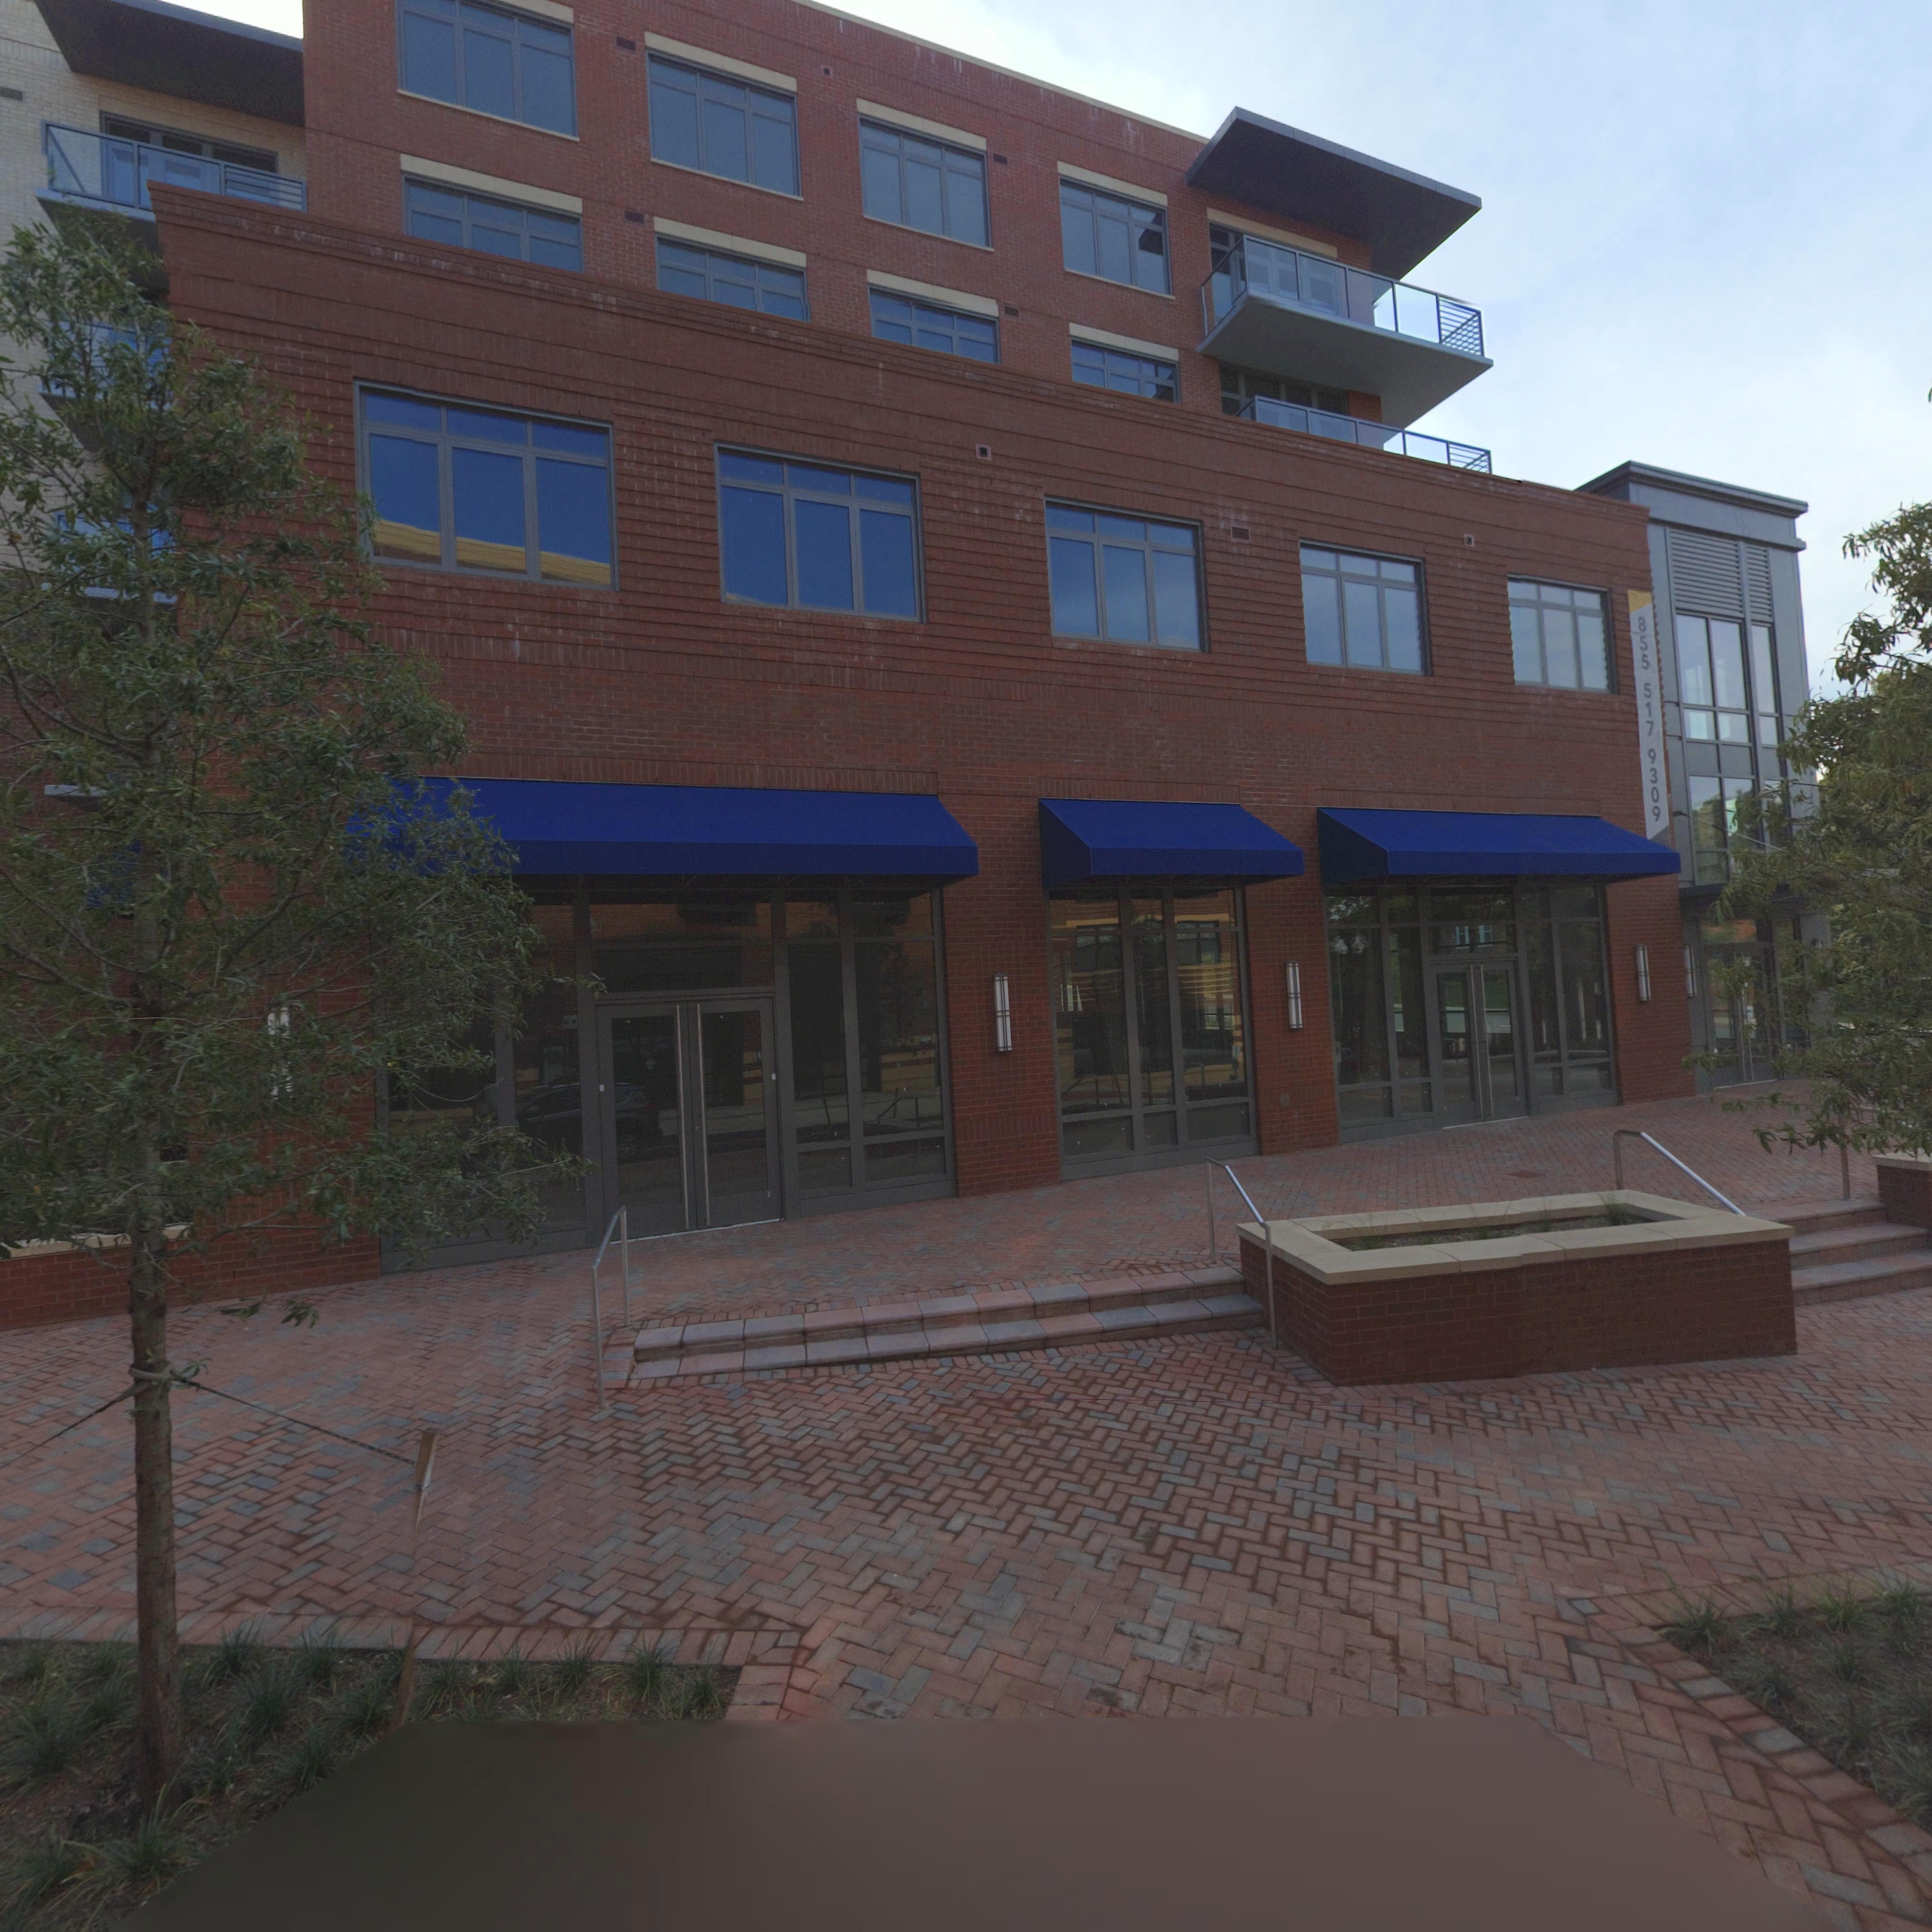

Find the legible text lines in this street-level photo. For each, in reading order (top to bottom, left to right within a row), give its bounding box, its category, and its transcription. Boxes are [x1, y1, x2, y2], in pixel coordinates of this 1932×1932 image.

[1637, 614, 1662, 825] None: 855 517 9309